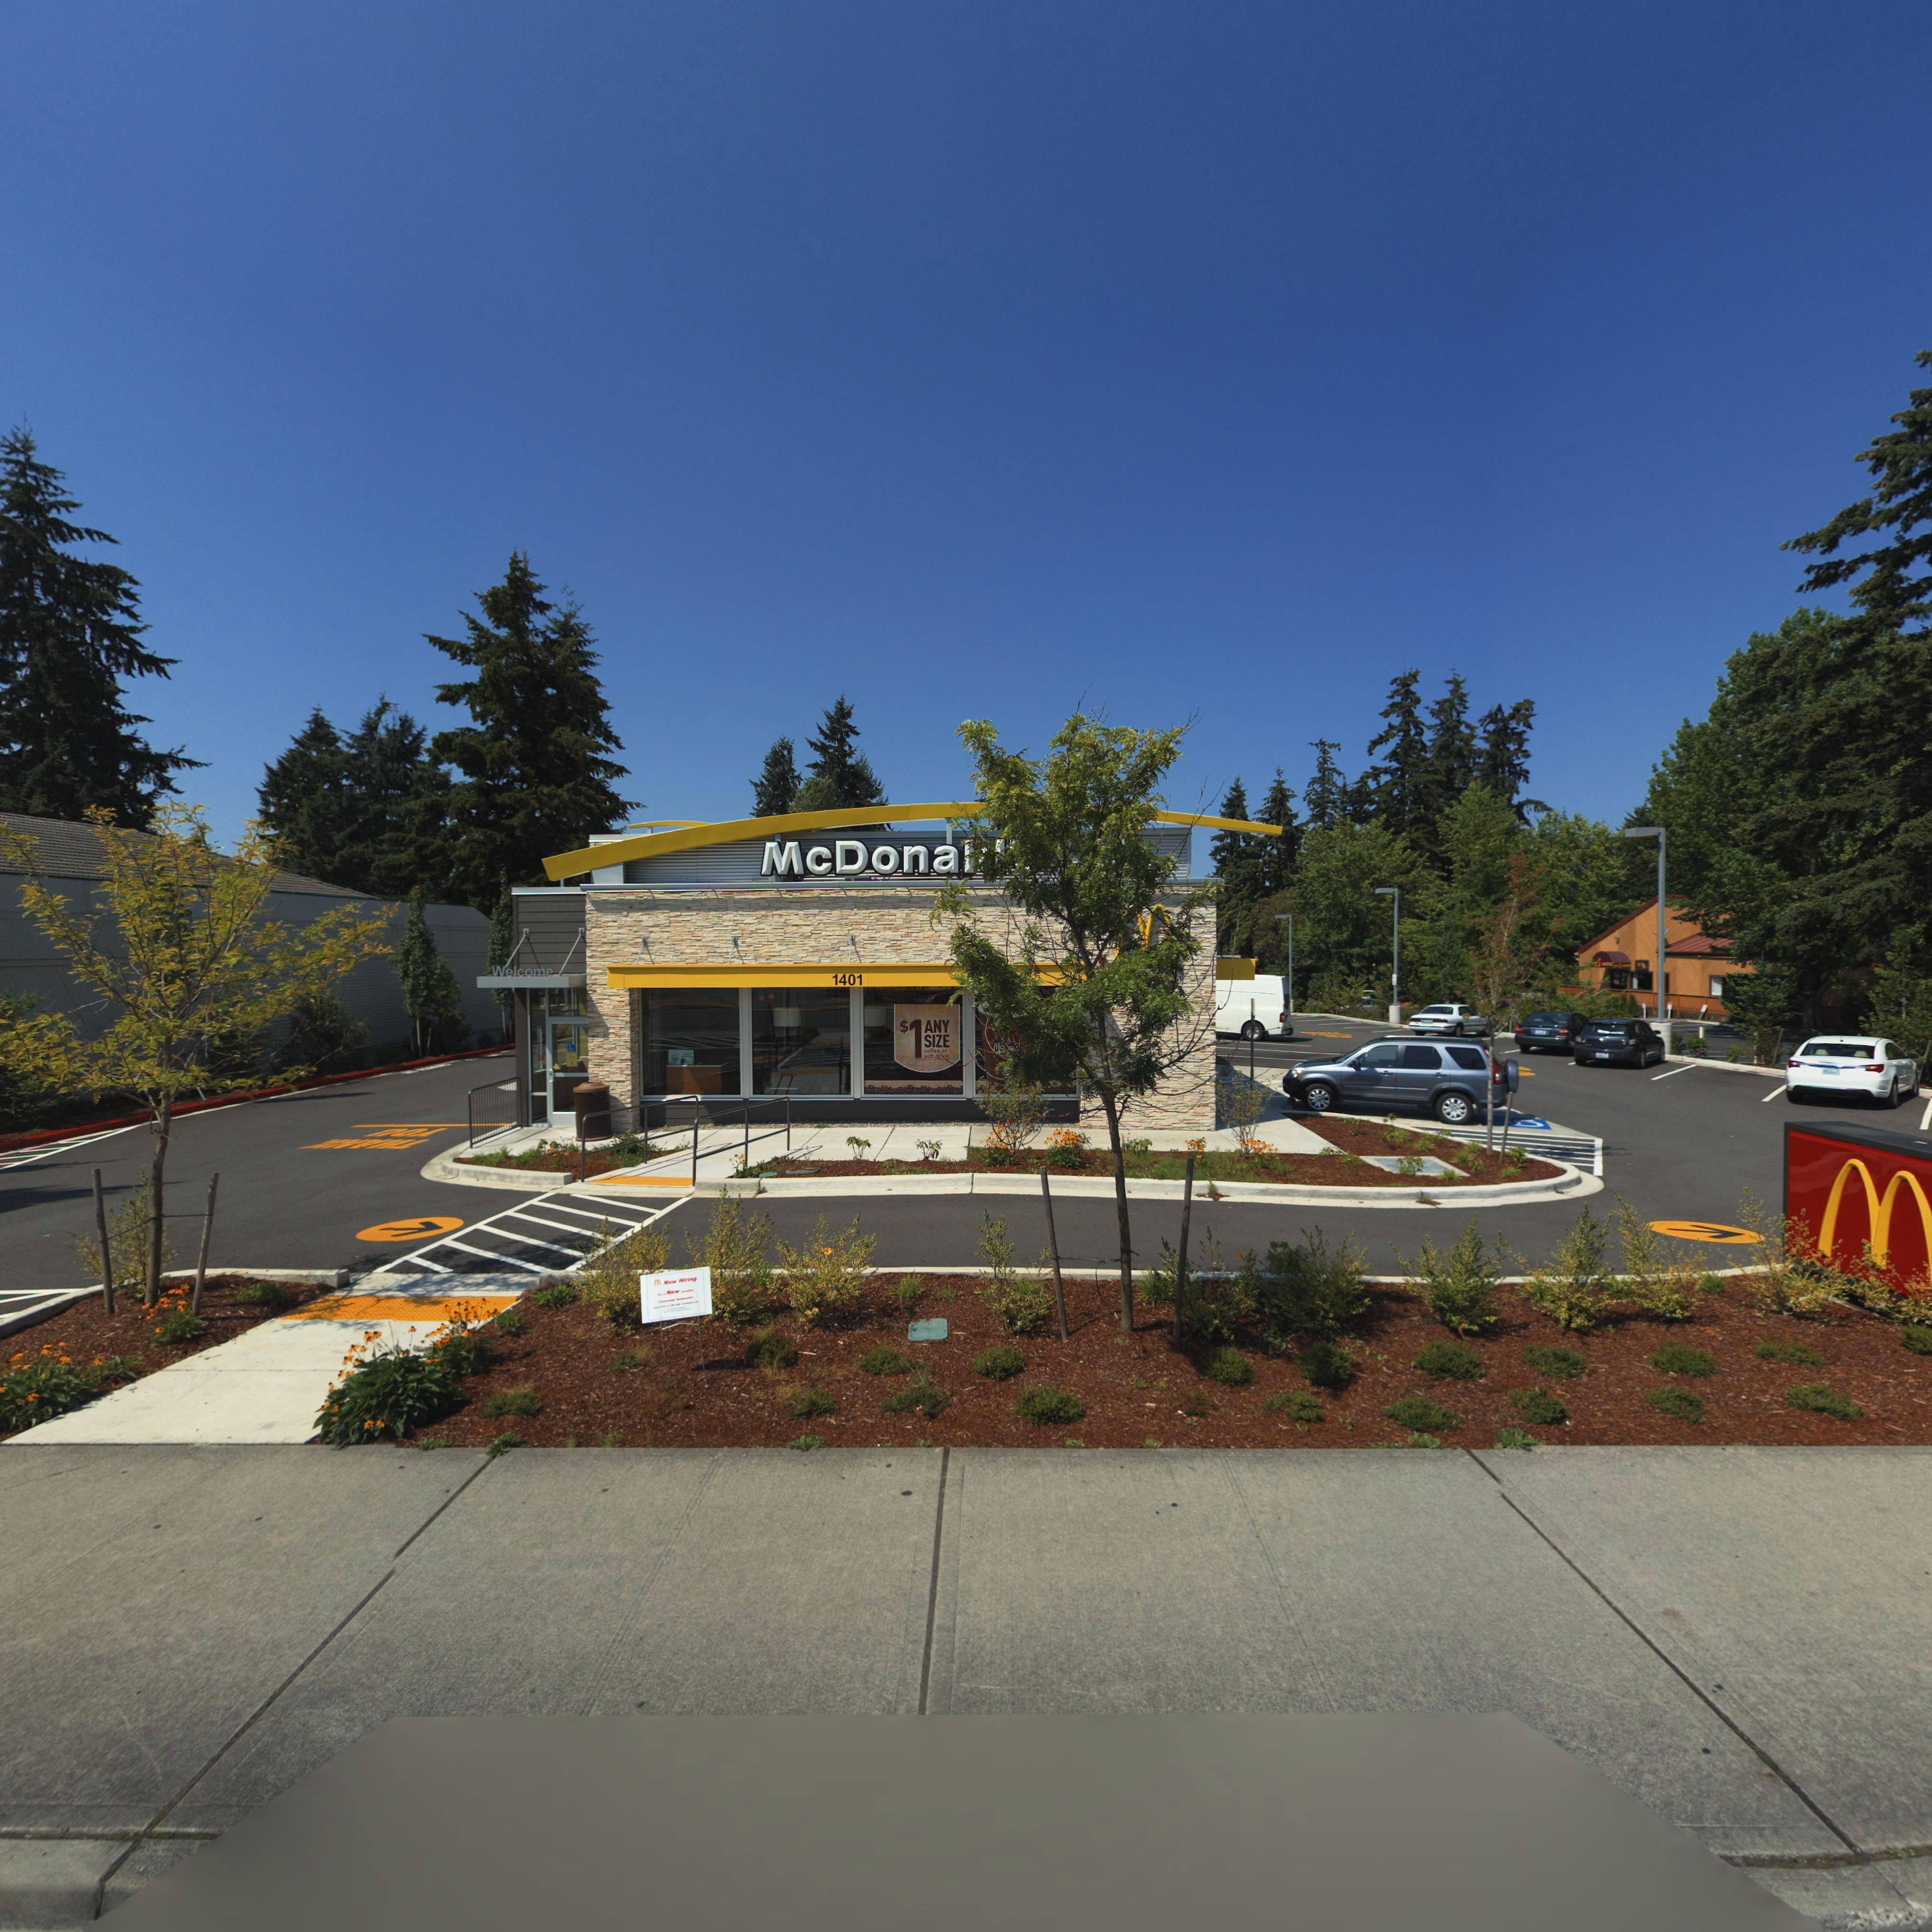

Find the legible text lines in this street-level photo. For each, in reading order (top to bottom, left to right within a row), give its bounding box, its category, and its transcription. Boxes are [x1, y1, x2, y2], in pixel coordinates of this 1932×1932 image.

[757, 836, 978, 878] BusinessName: McDona*
[830, 972, 863, 988] StreetNumber: 1401